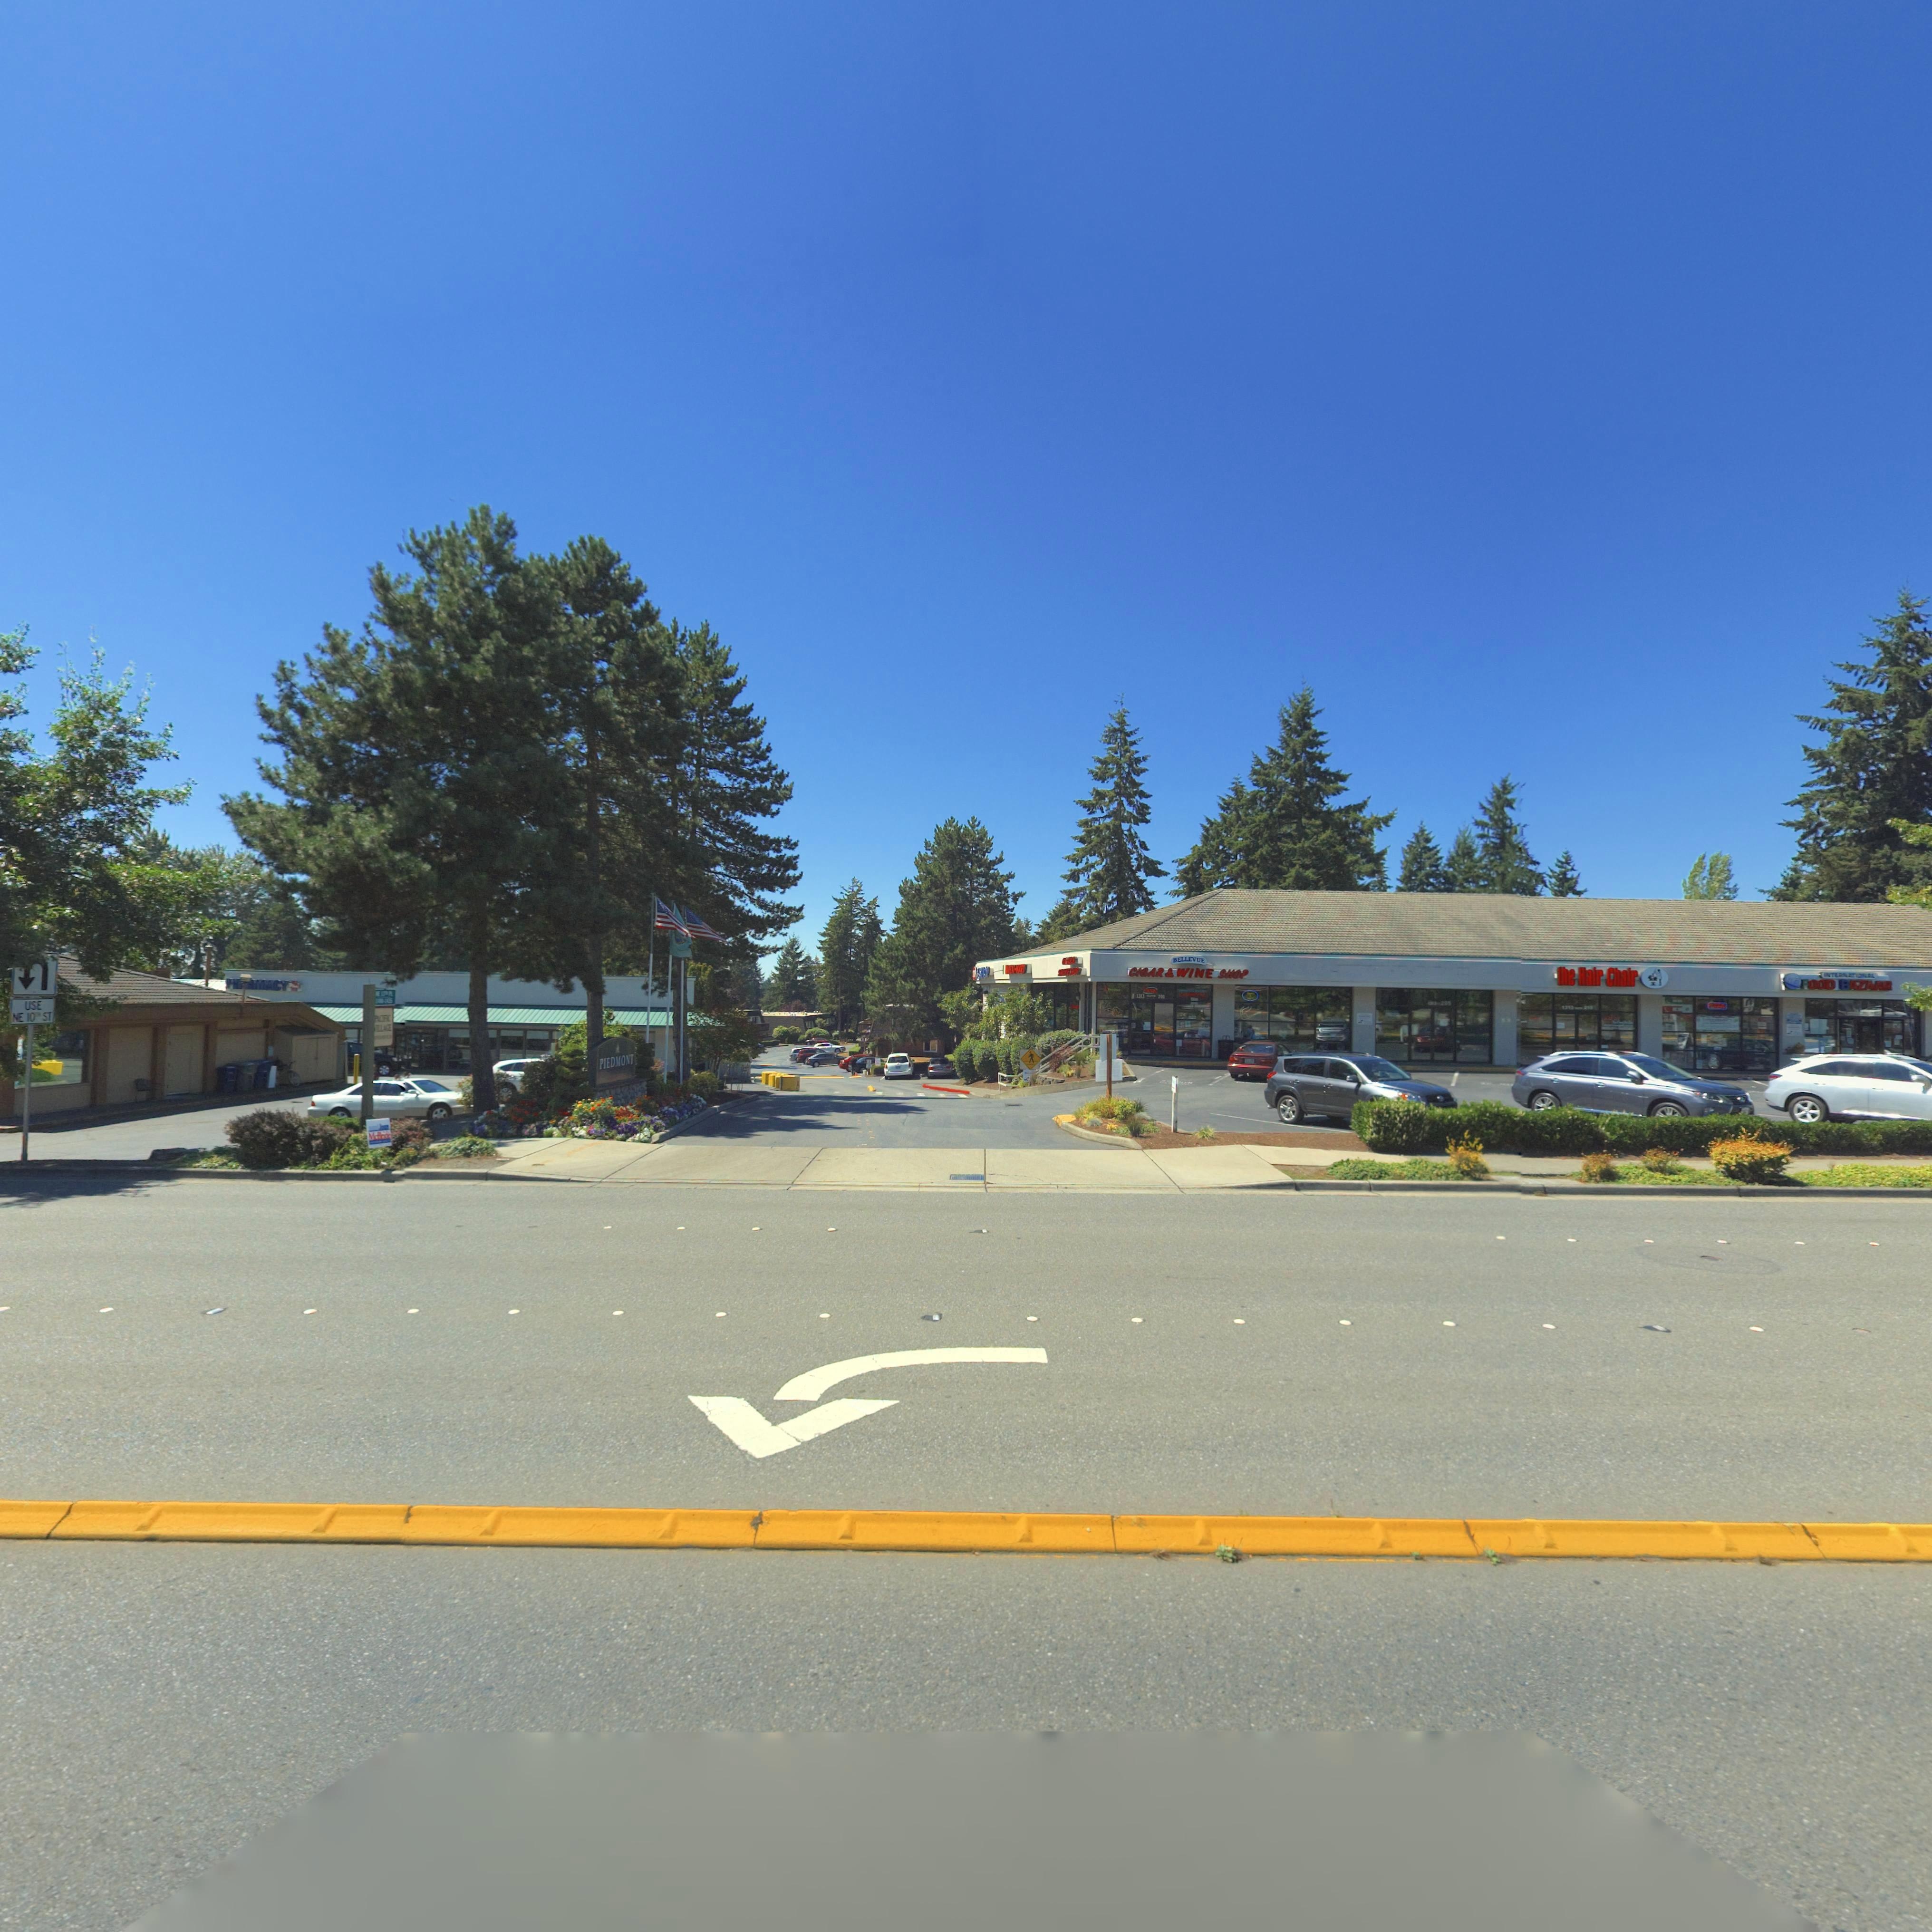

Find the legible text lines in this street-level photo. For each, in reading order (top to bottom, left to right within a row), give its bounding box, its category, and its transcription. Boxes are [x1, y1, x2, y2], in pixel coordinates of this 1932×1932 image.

[1173, 956, 1205, 963] BusinessName: BELLEVUE
[1128, 967, 1249, 979] BusinessName: CIGAR * WINE SHOP
[1557, 965, 1639, 987] BusinessName: The Hair Chair
[1822, 972, 1876, 978] BusinessName: INTERNATIONAL
[1800, 978, 1892, 990] BusinessName: FOOD BAZAAR
[1136, 993, 1145, 998] StreetNumber: 1313
[1158, 994, 1165, 999] StreetNumber: 208
[10, 1011, 52, 1023] StreetName: NE 10th ST